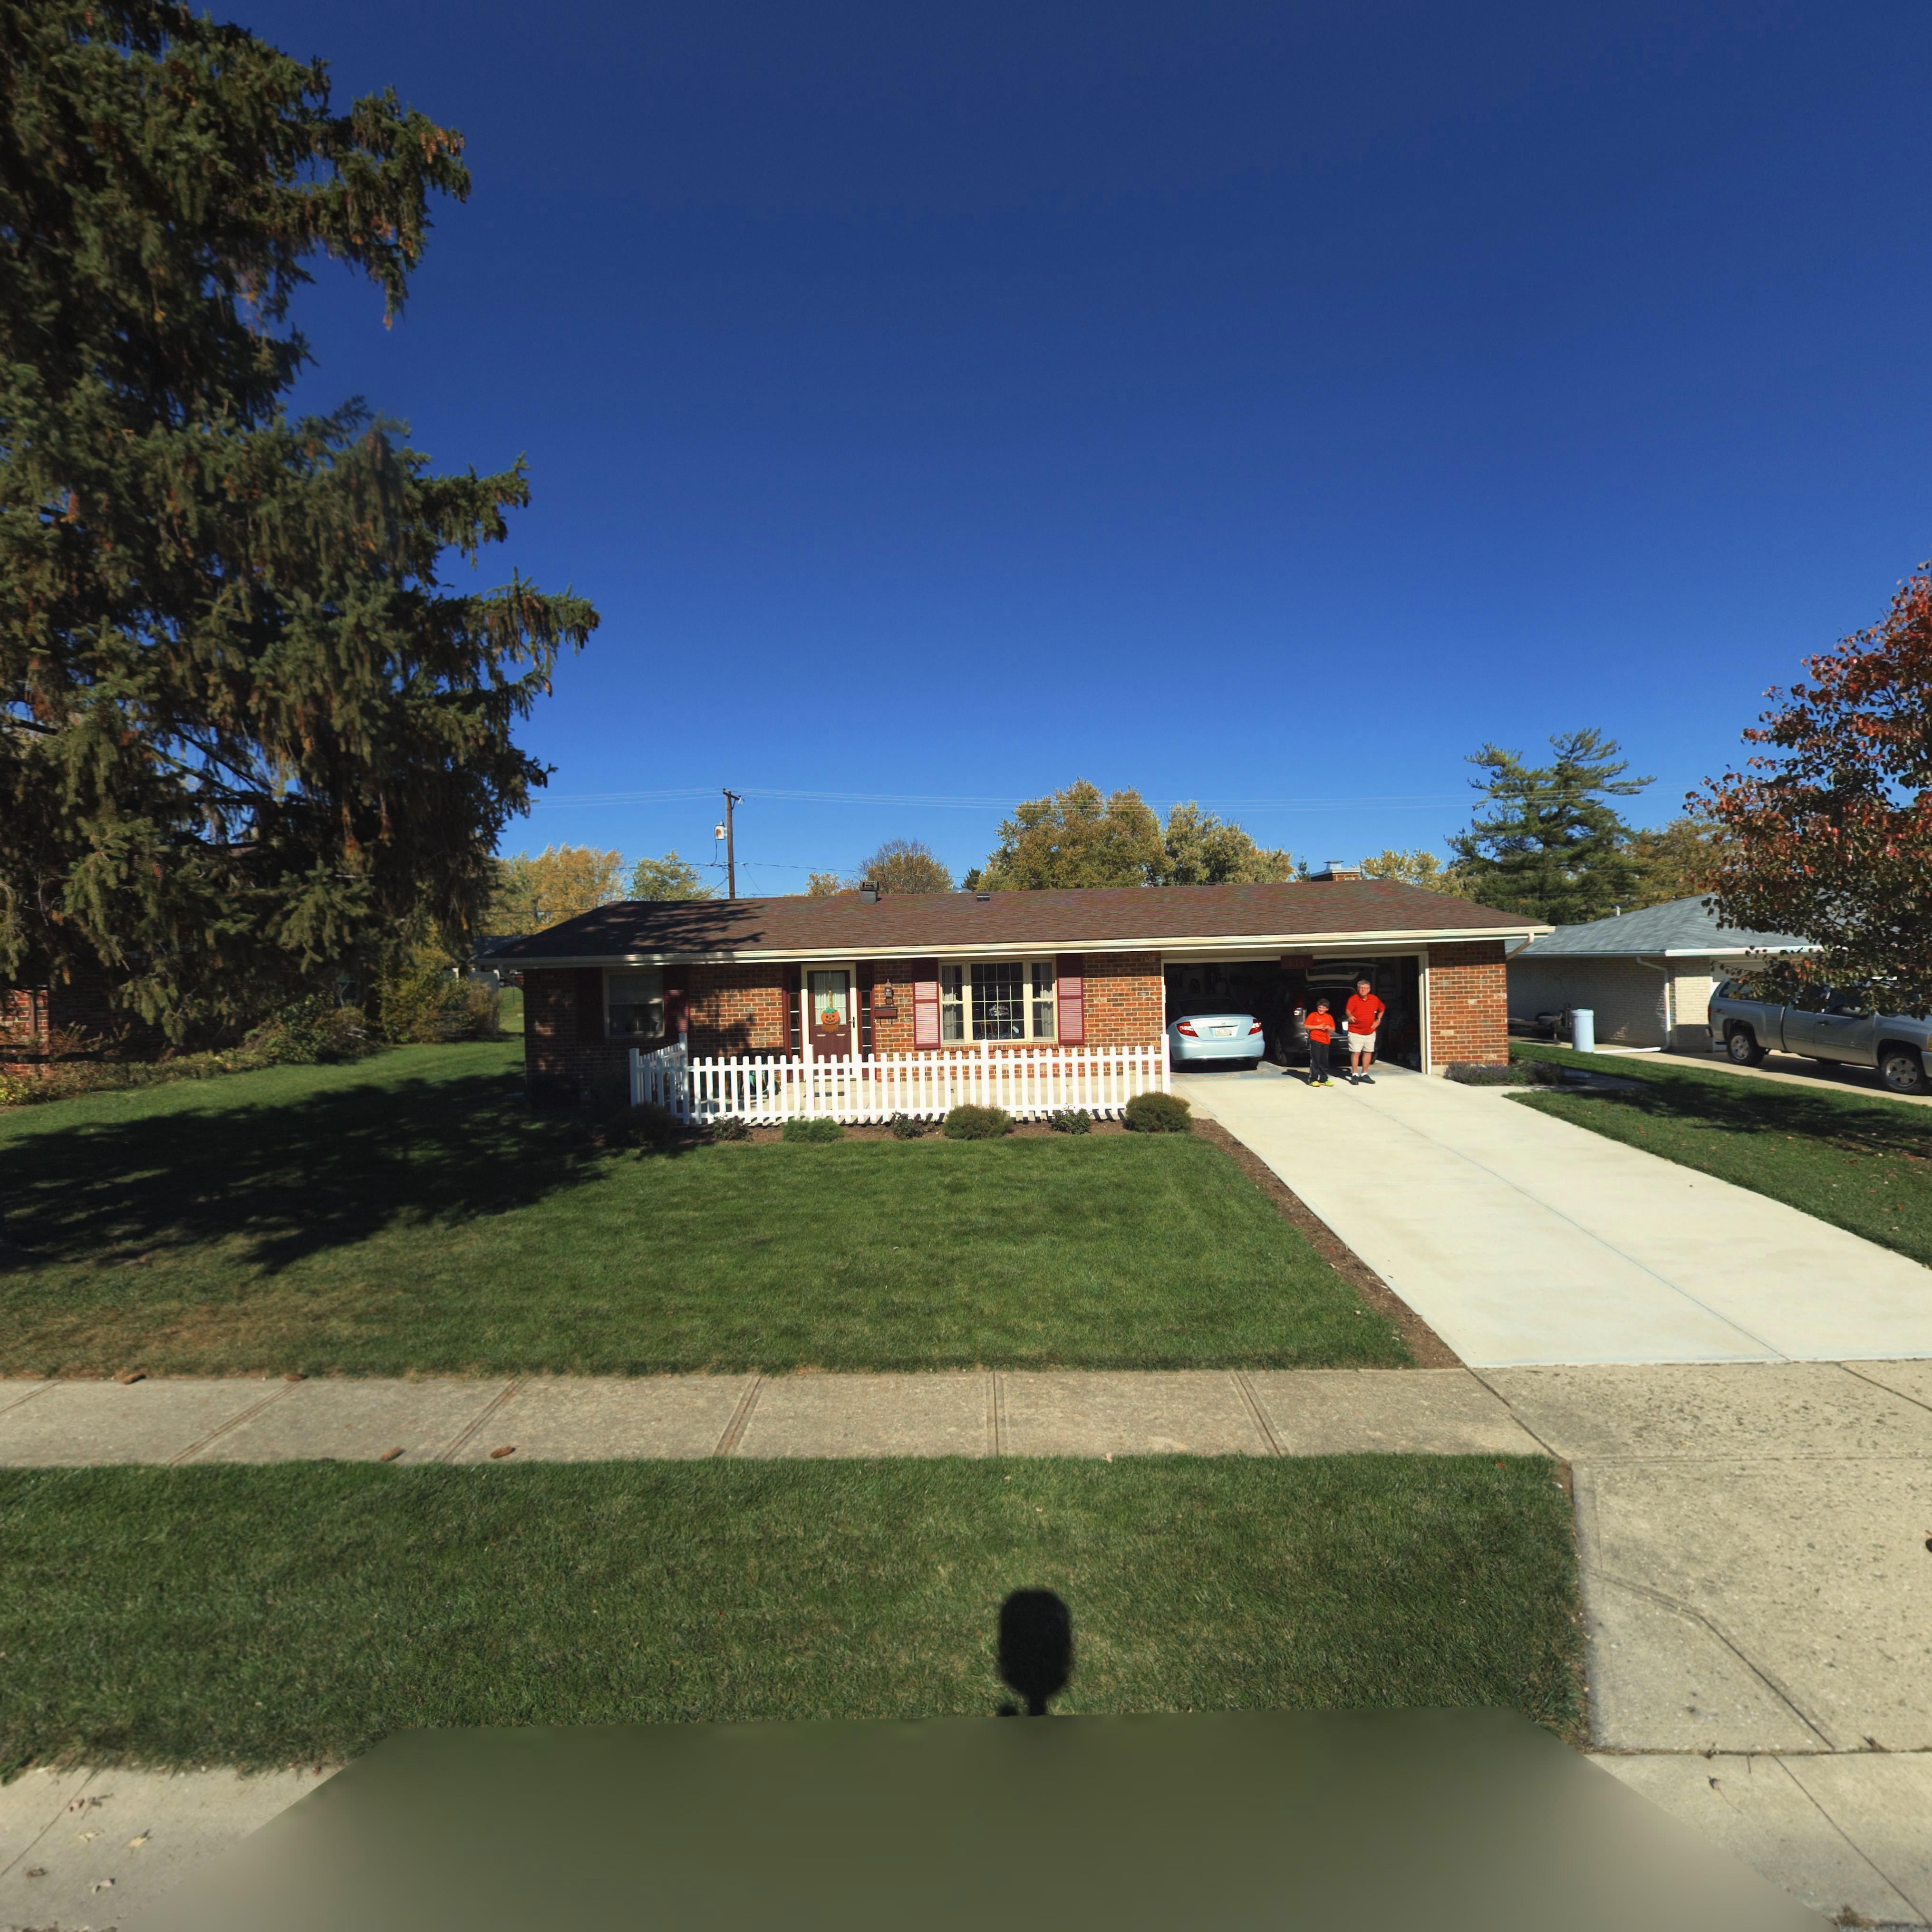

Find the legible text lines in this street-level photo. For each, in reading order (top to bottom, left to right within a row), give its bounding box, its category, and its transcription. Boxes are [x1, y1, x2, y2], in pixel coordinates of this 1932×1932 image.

[1288, 958, 1305, 967] StreetNumber: 816